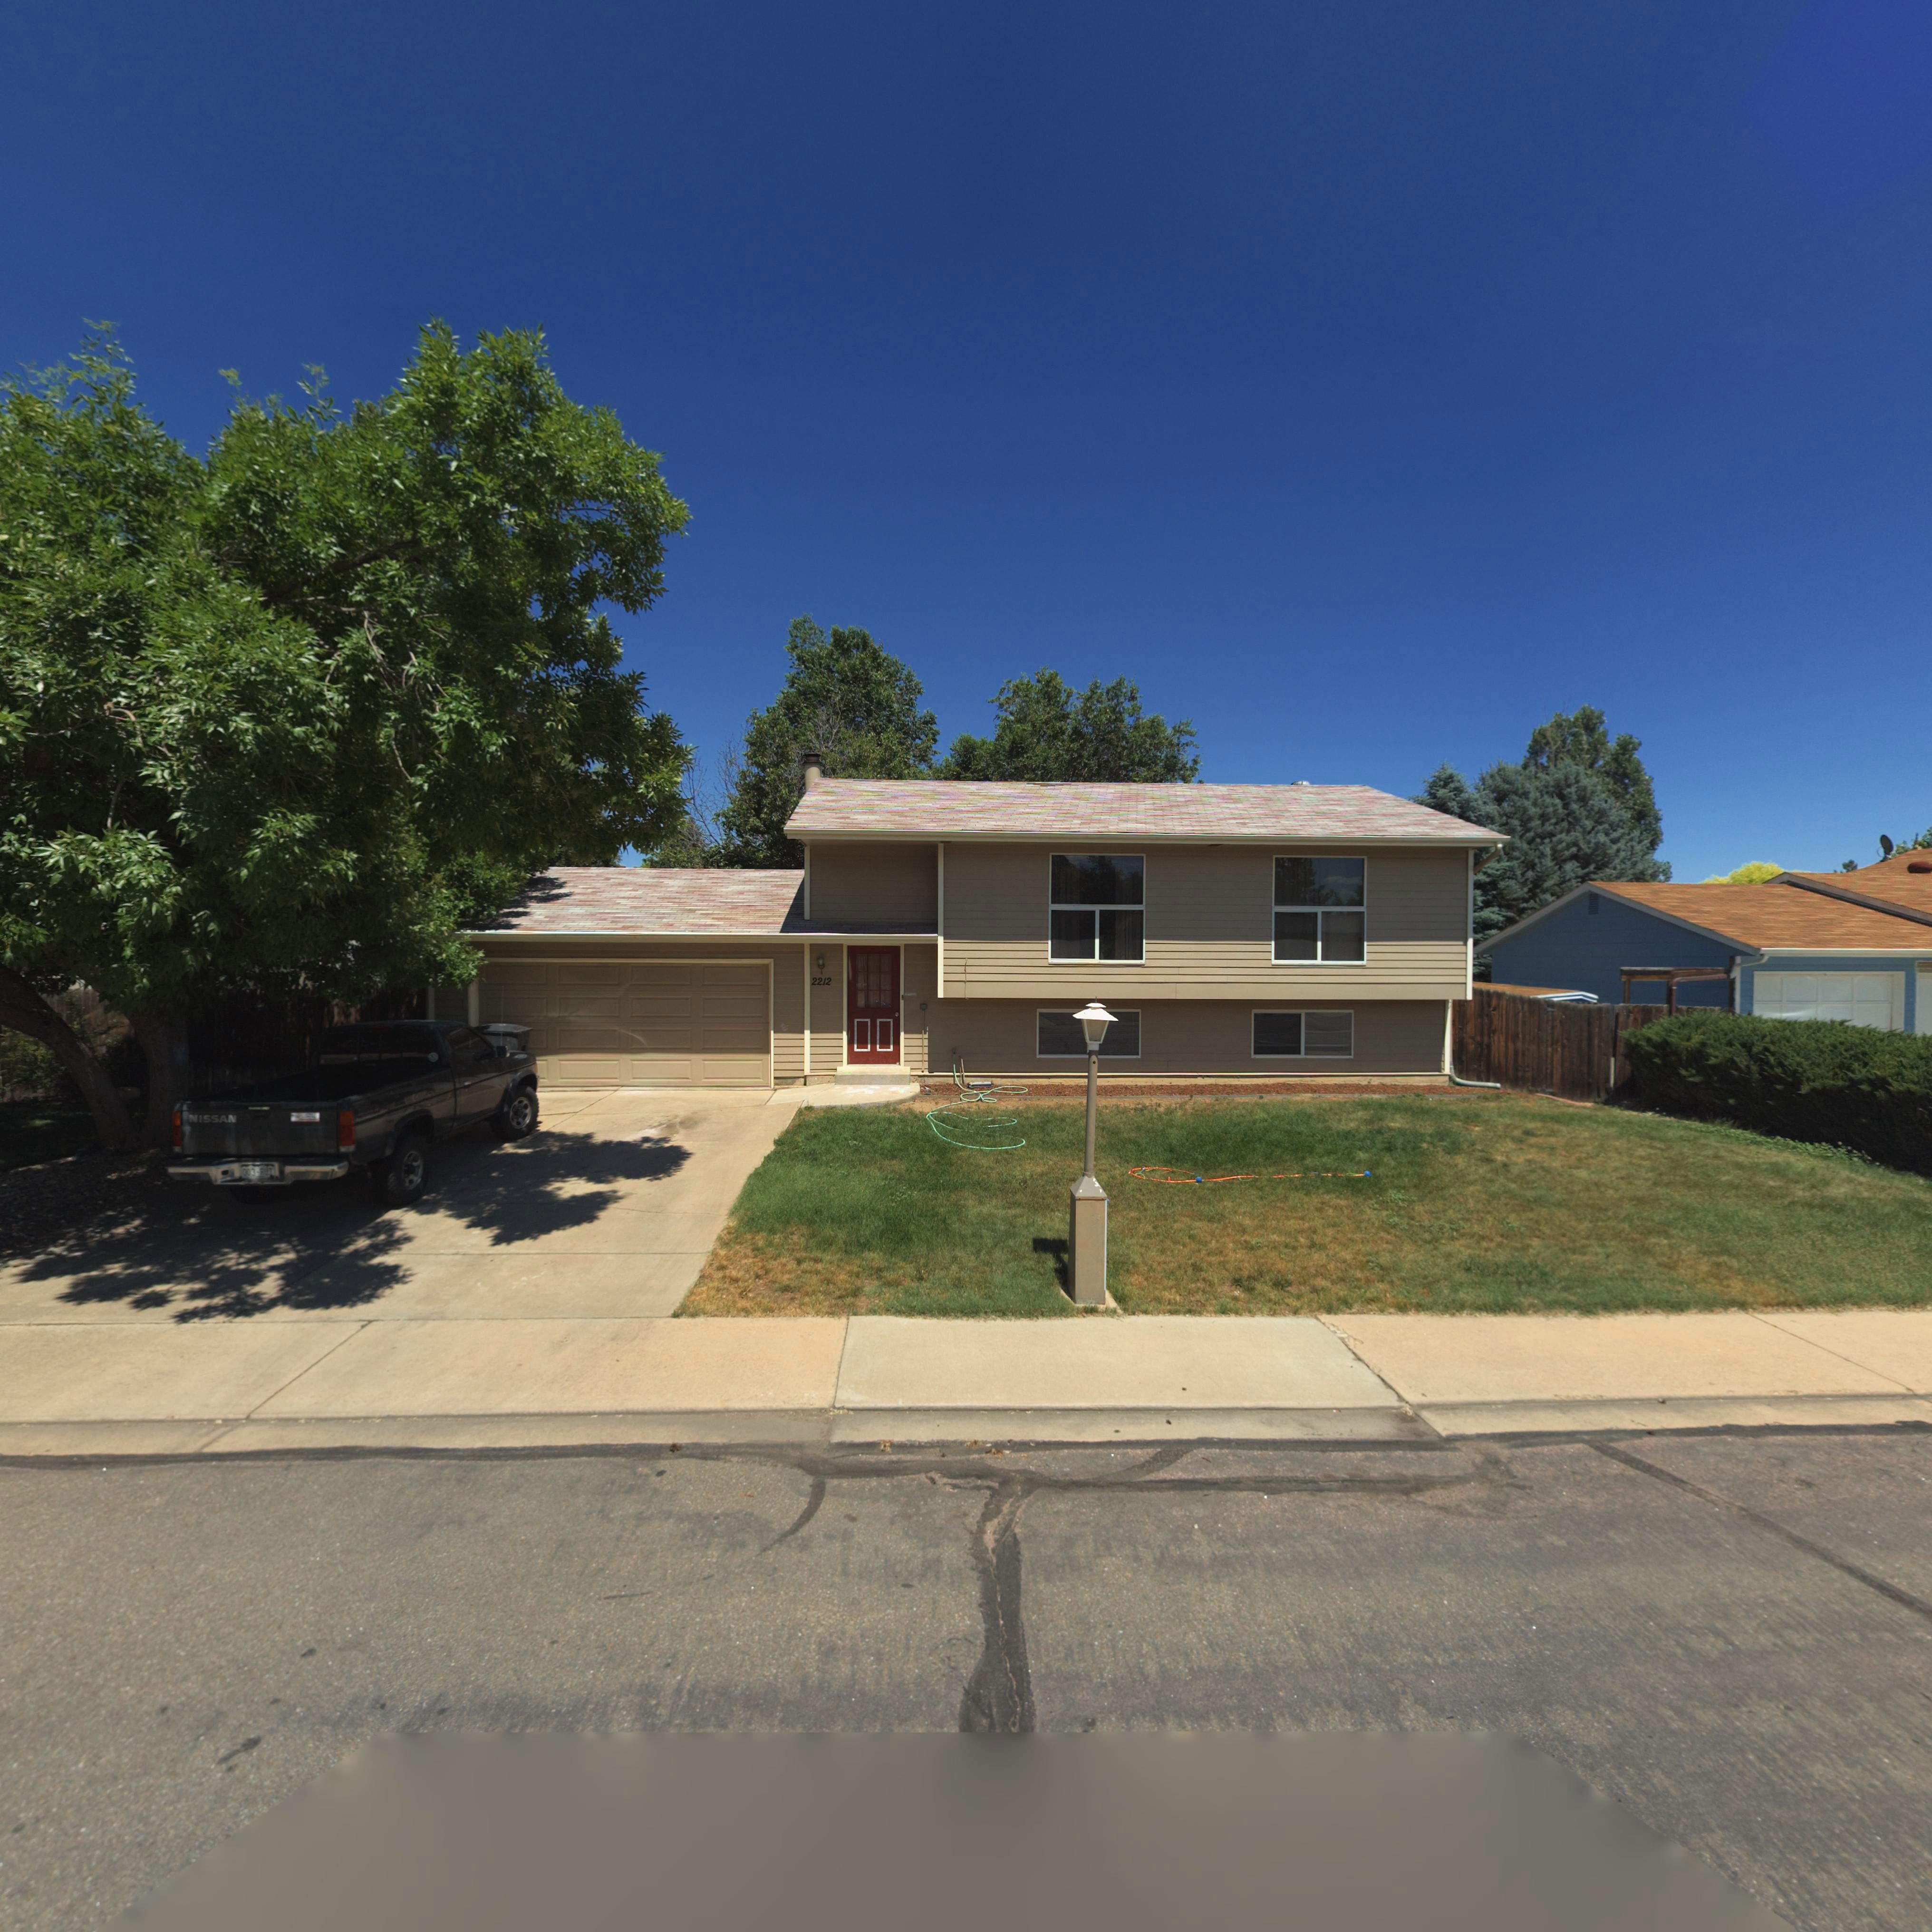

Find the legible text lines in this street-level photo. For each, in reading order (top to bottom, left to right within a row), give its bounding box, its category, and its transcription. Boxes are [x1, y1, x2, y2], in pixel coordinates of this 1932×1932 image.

[811, 976, 832, 985] StreetNumber: 2212